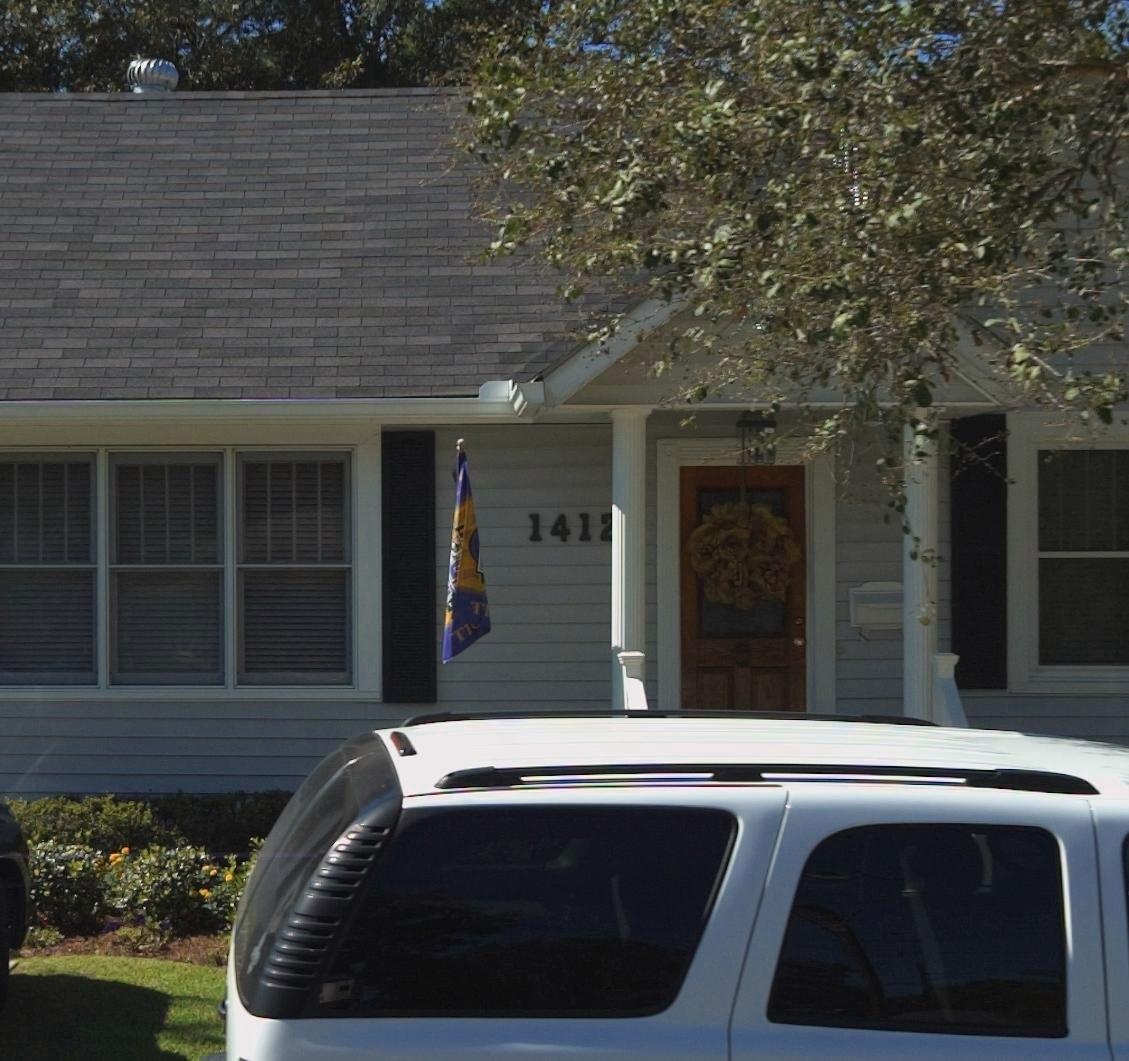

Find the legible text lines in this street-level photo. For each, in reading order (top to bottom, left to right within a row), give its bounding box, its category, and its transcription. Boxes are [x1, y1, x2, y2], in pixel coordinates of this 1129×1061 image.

[525, 511, 613, 544] StreetNumber: 141*